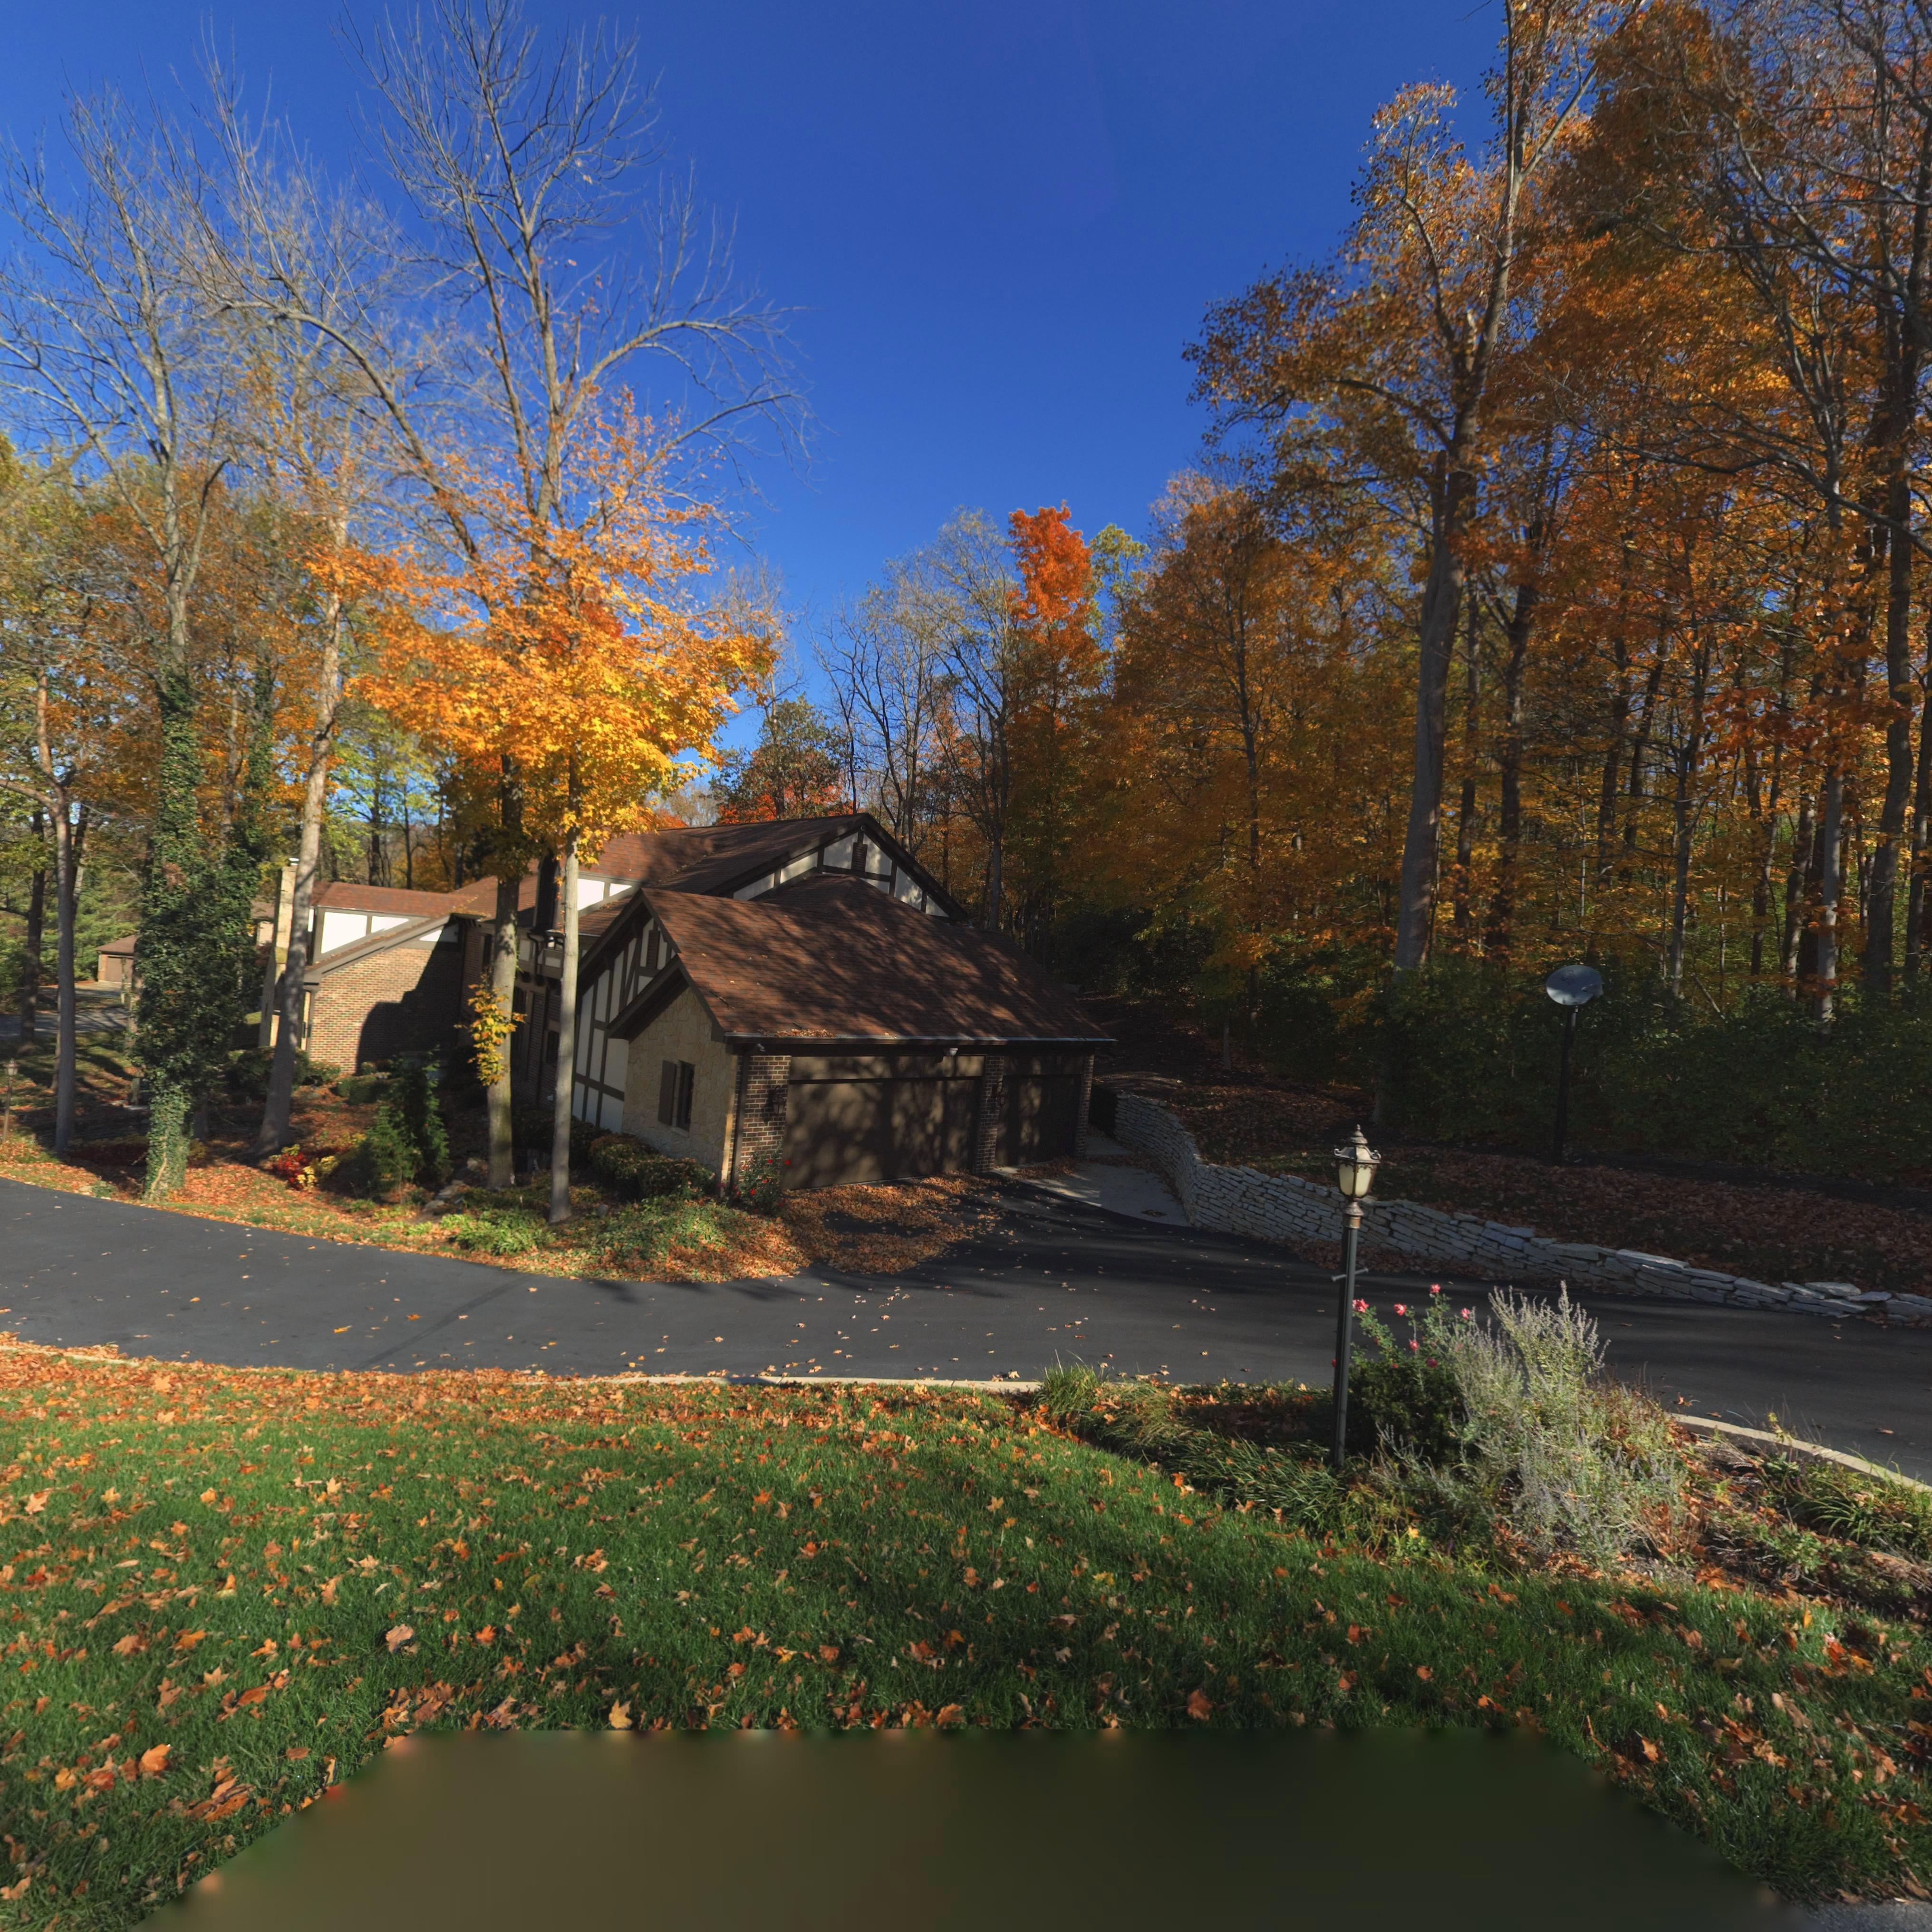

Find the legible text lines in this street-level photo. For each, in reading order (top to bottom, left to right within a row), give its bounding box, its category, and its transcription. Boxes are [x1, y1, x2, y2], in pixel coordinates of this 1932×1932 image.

[899, 1063, 905, 1072] StreetNumber: 5